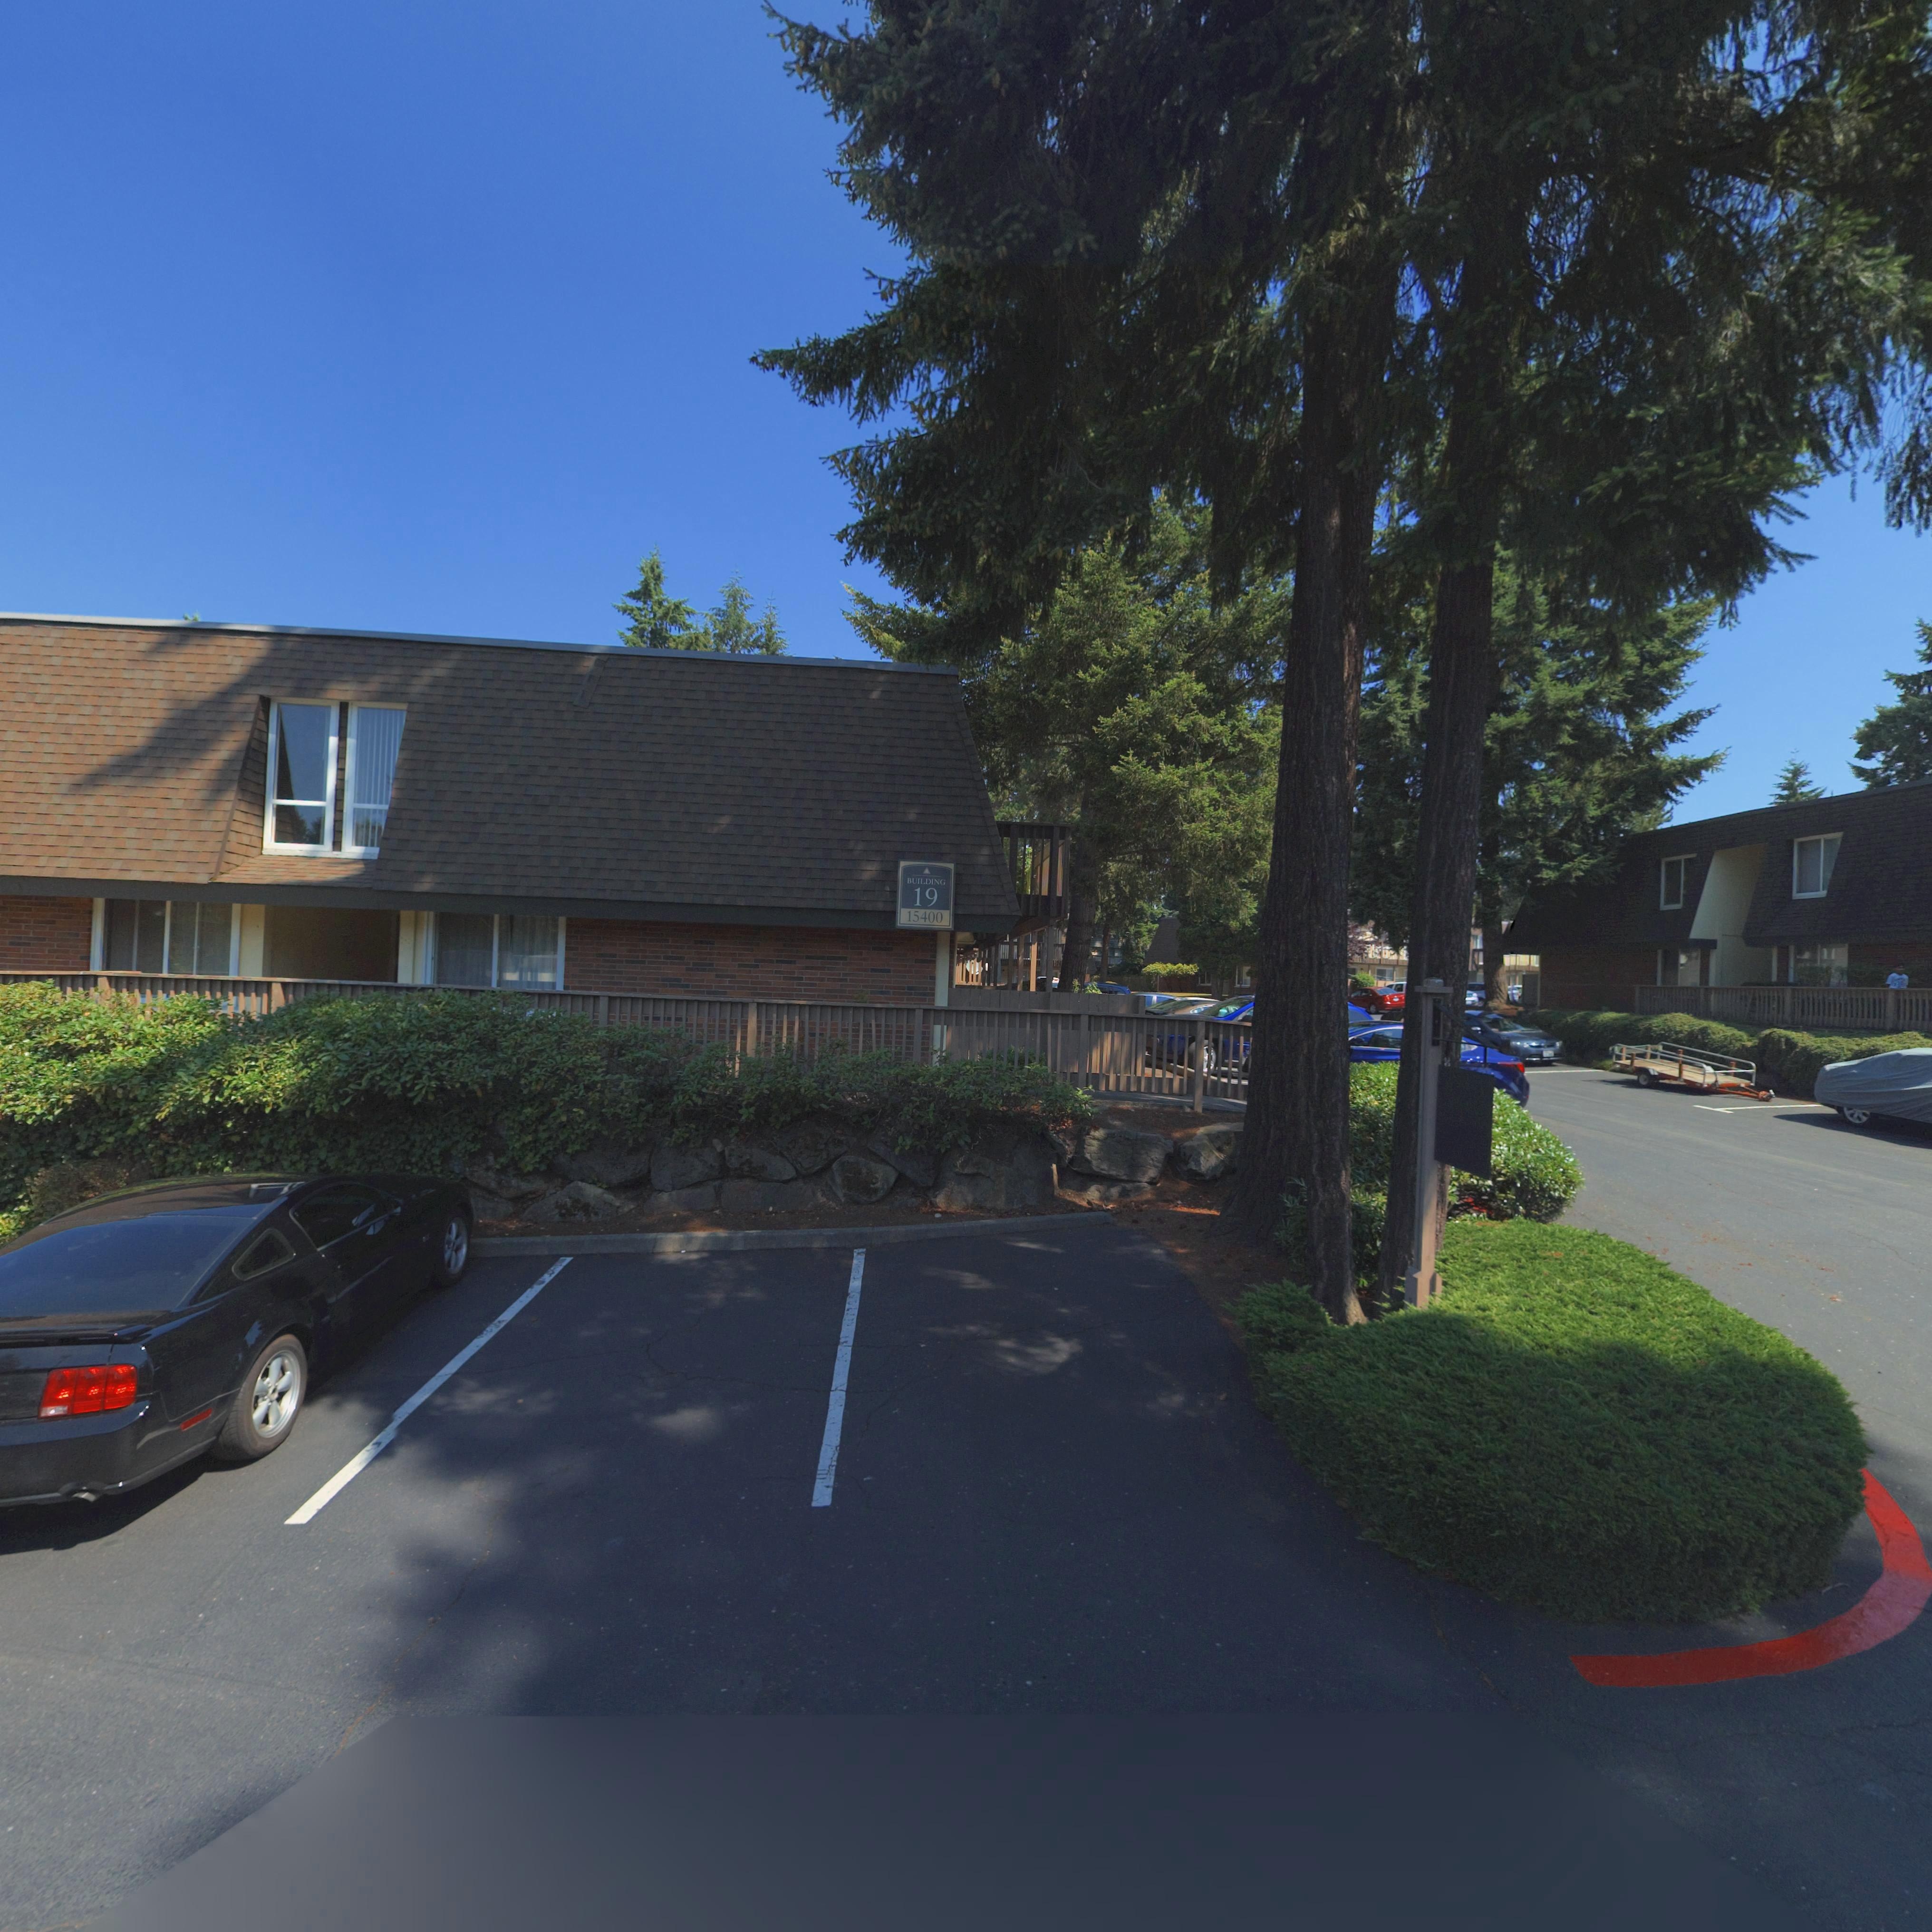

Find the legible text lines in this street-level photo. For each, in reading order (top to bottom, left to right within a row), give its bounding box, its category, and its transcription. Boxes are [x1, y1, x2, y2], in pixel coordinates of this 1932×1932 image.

[907, 877, 946, 886] None: BUILDING
[913, 887, 937, 907] None: 19
[907, 910, 944, 924] StreetNumber: 15400